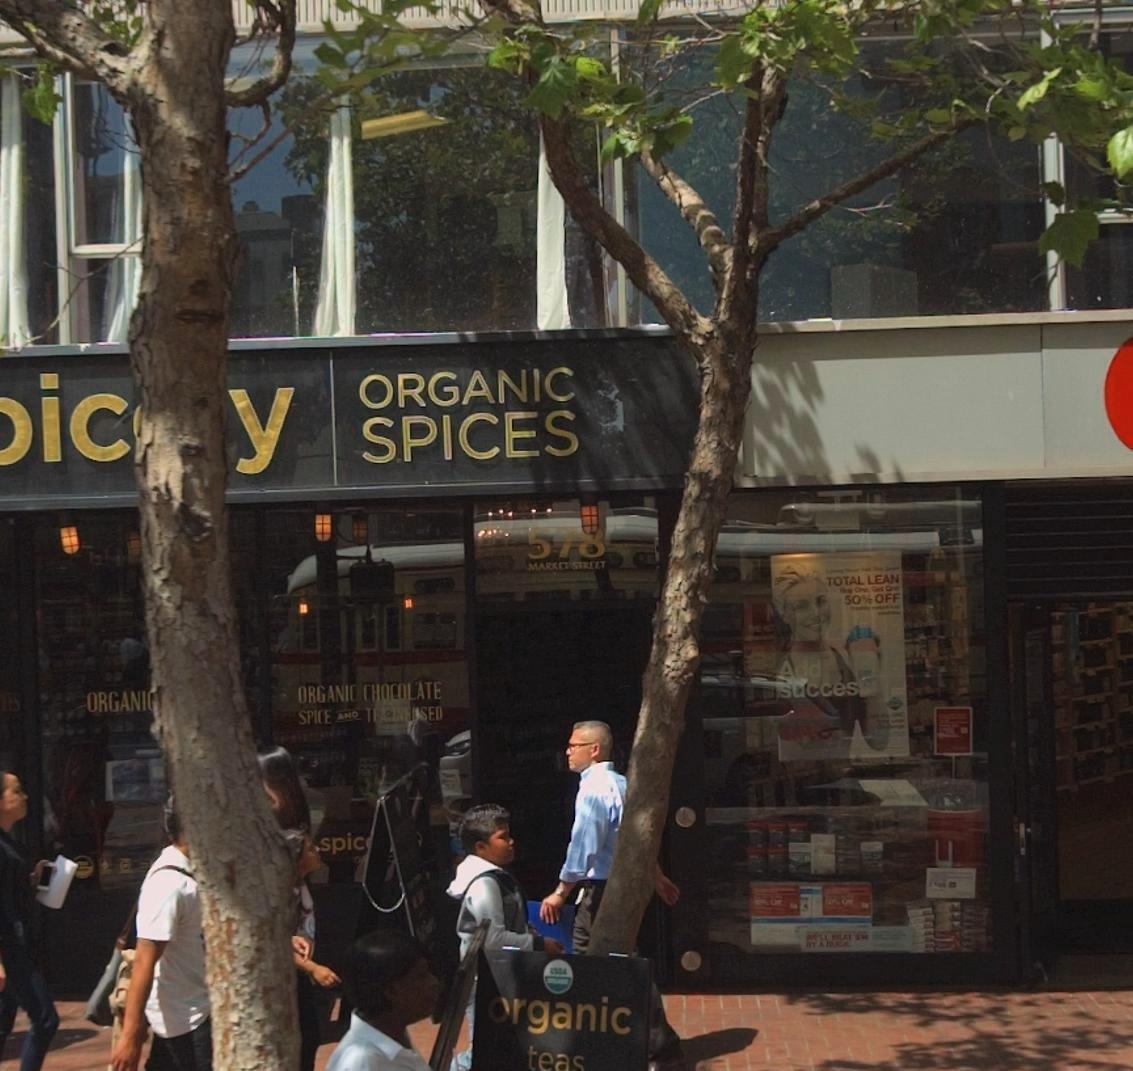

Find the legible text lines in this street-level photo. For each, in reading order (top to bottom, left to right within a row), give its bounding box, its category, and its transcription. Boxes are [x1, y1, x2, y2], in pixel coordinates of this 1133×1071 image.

[358, 363, 578, 412] BusinessName: ORGANIC
[37, 369, 136, 467] BusinessName: ic
[226, 382, 298, 480] BusinessName: y
[359, 404, 581, 469] BusinessName: SPICES
[526, 525, 606, 560] StreetNumber: 578
[527, 560, 607, 572] StreetName: MARKET STREET
[823, 572, 901, 587] None: TOTAL LEAN
[843, 592, 902, 607] None: 50% OFF
[775, 656, 822, 681] None: ADD
[85, 688, 148, 715] None: ORGANI
[296, 679, 443, 706] None: ORGANIC CHOCOLATE
[296, 703, 443, 727] None: SPICE AND TEA*INFUSED
[777, 678, 874, 702] None: success
[775, 718, 835, 744] None: GNC
[320, 830, 366, 856] None: spic
[933, 836, 956, 872] None: U
[485, 994, 632, 1037] None: organic
[525, 1042, 555, 1070] None: te